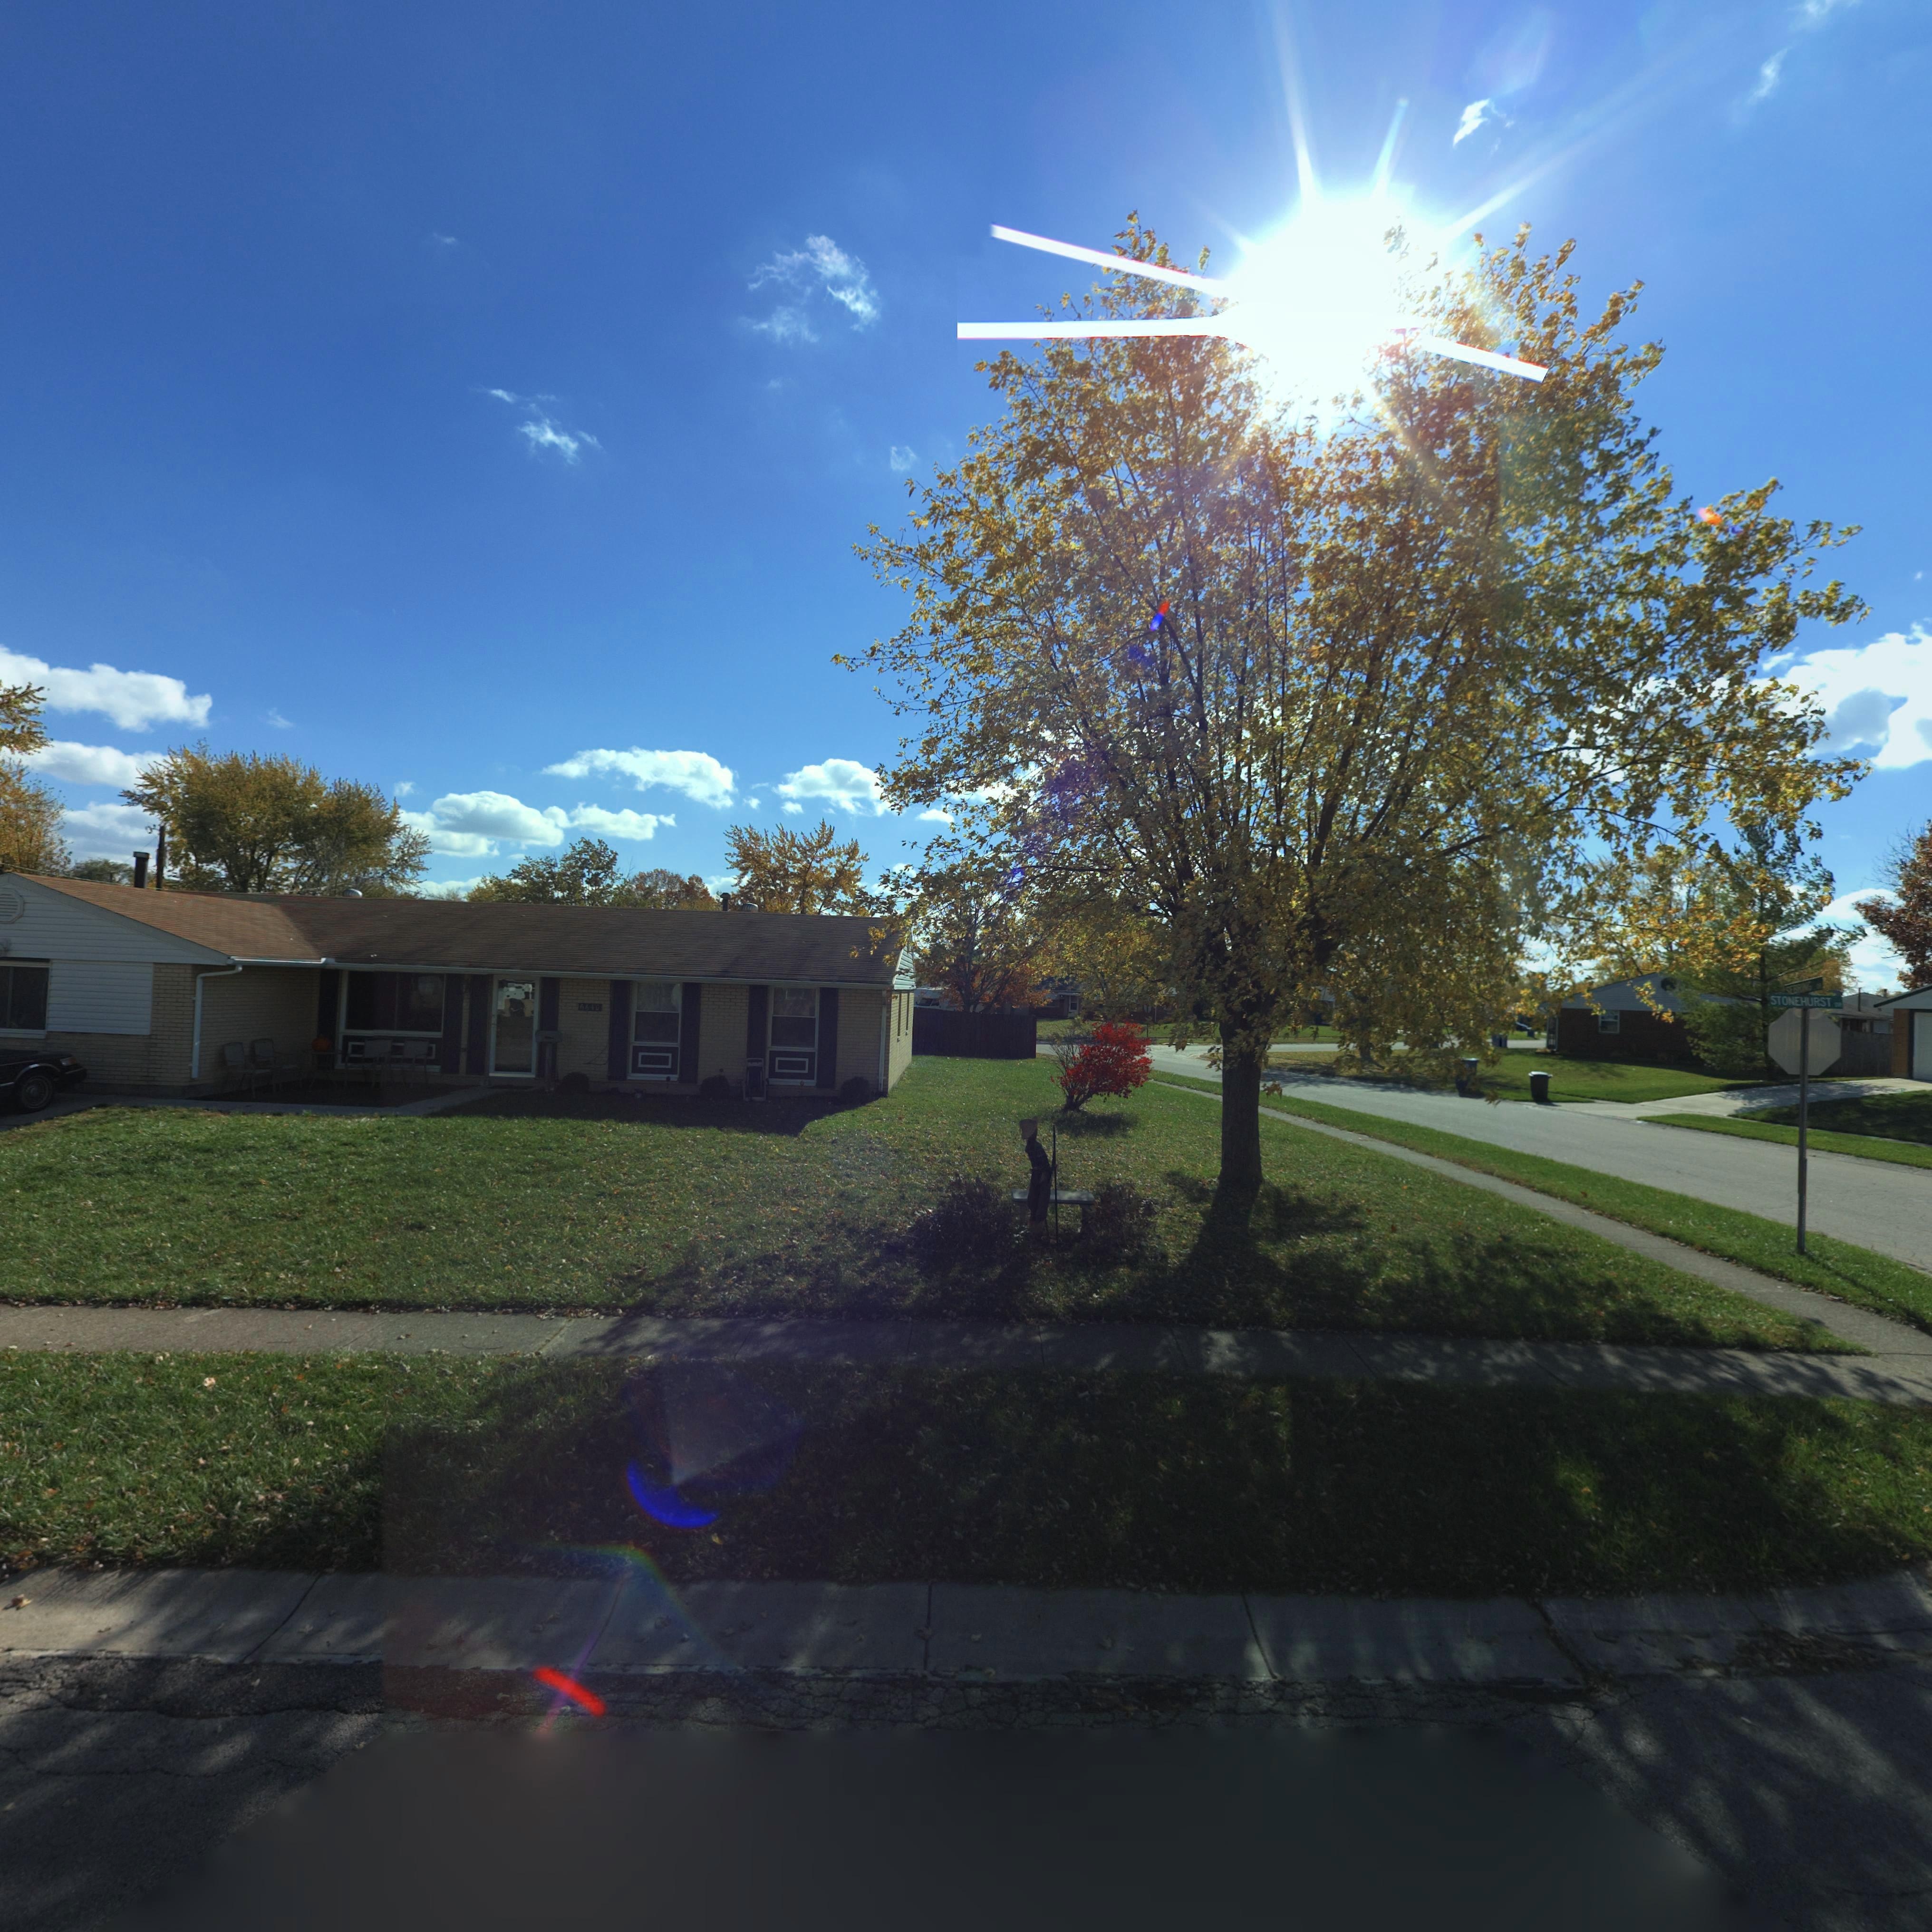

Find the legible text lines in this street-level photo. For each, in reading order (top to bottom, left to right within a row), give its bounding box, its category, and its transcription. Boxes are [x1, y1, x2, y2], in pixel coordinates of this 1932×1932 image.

[579, 1003, 600, 1011] StreetNumber: 6640